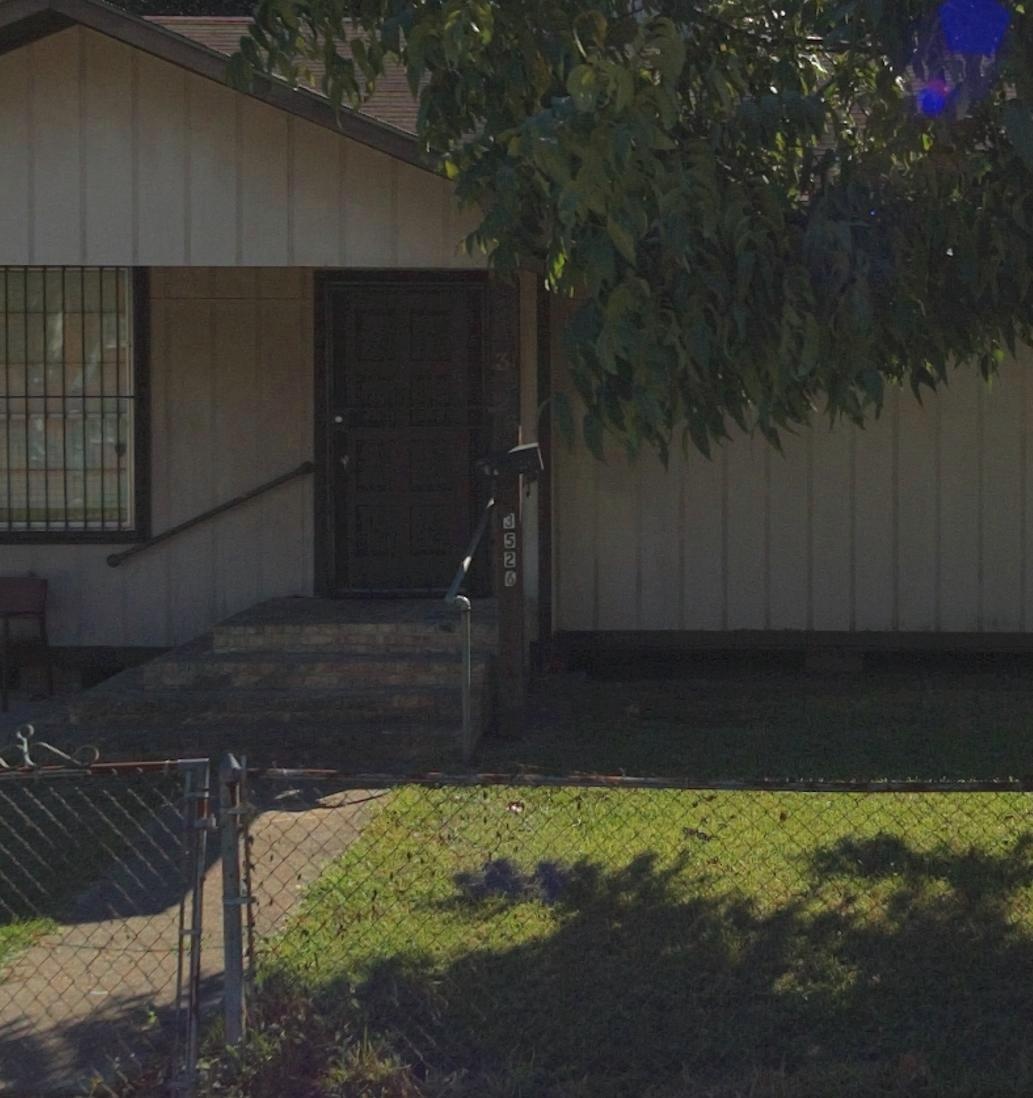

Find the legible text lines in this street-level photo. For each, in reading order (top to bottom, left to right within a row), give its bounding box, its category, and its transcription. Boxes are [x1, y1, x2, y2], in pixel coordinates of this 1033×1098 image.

[493, 350, 513, 372] None: 3
[503, 512, 516, 587] StreetNumber: 3526